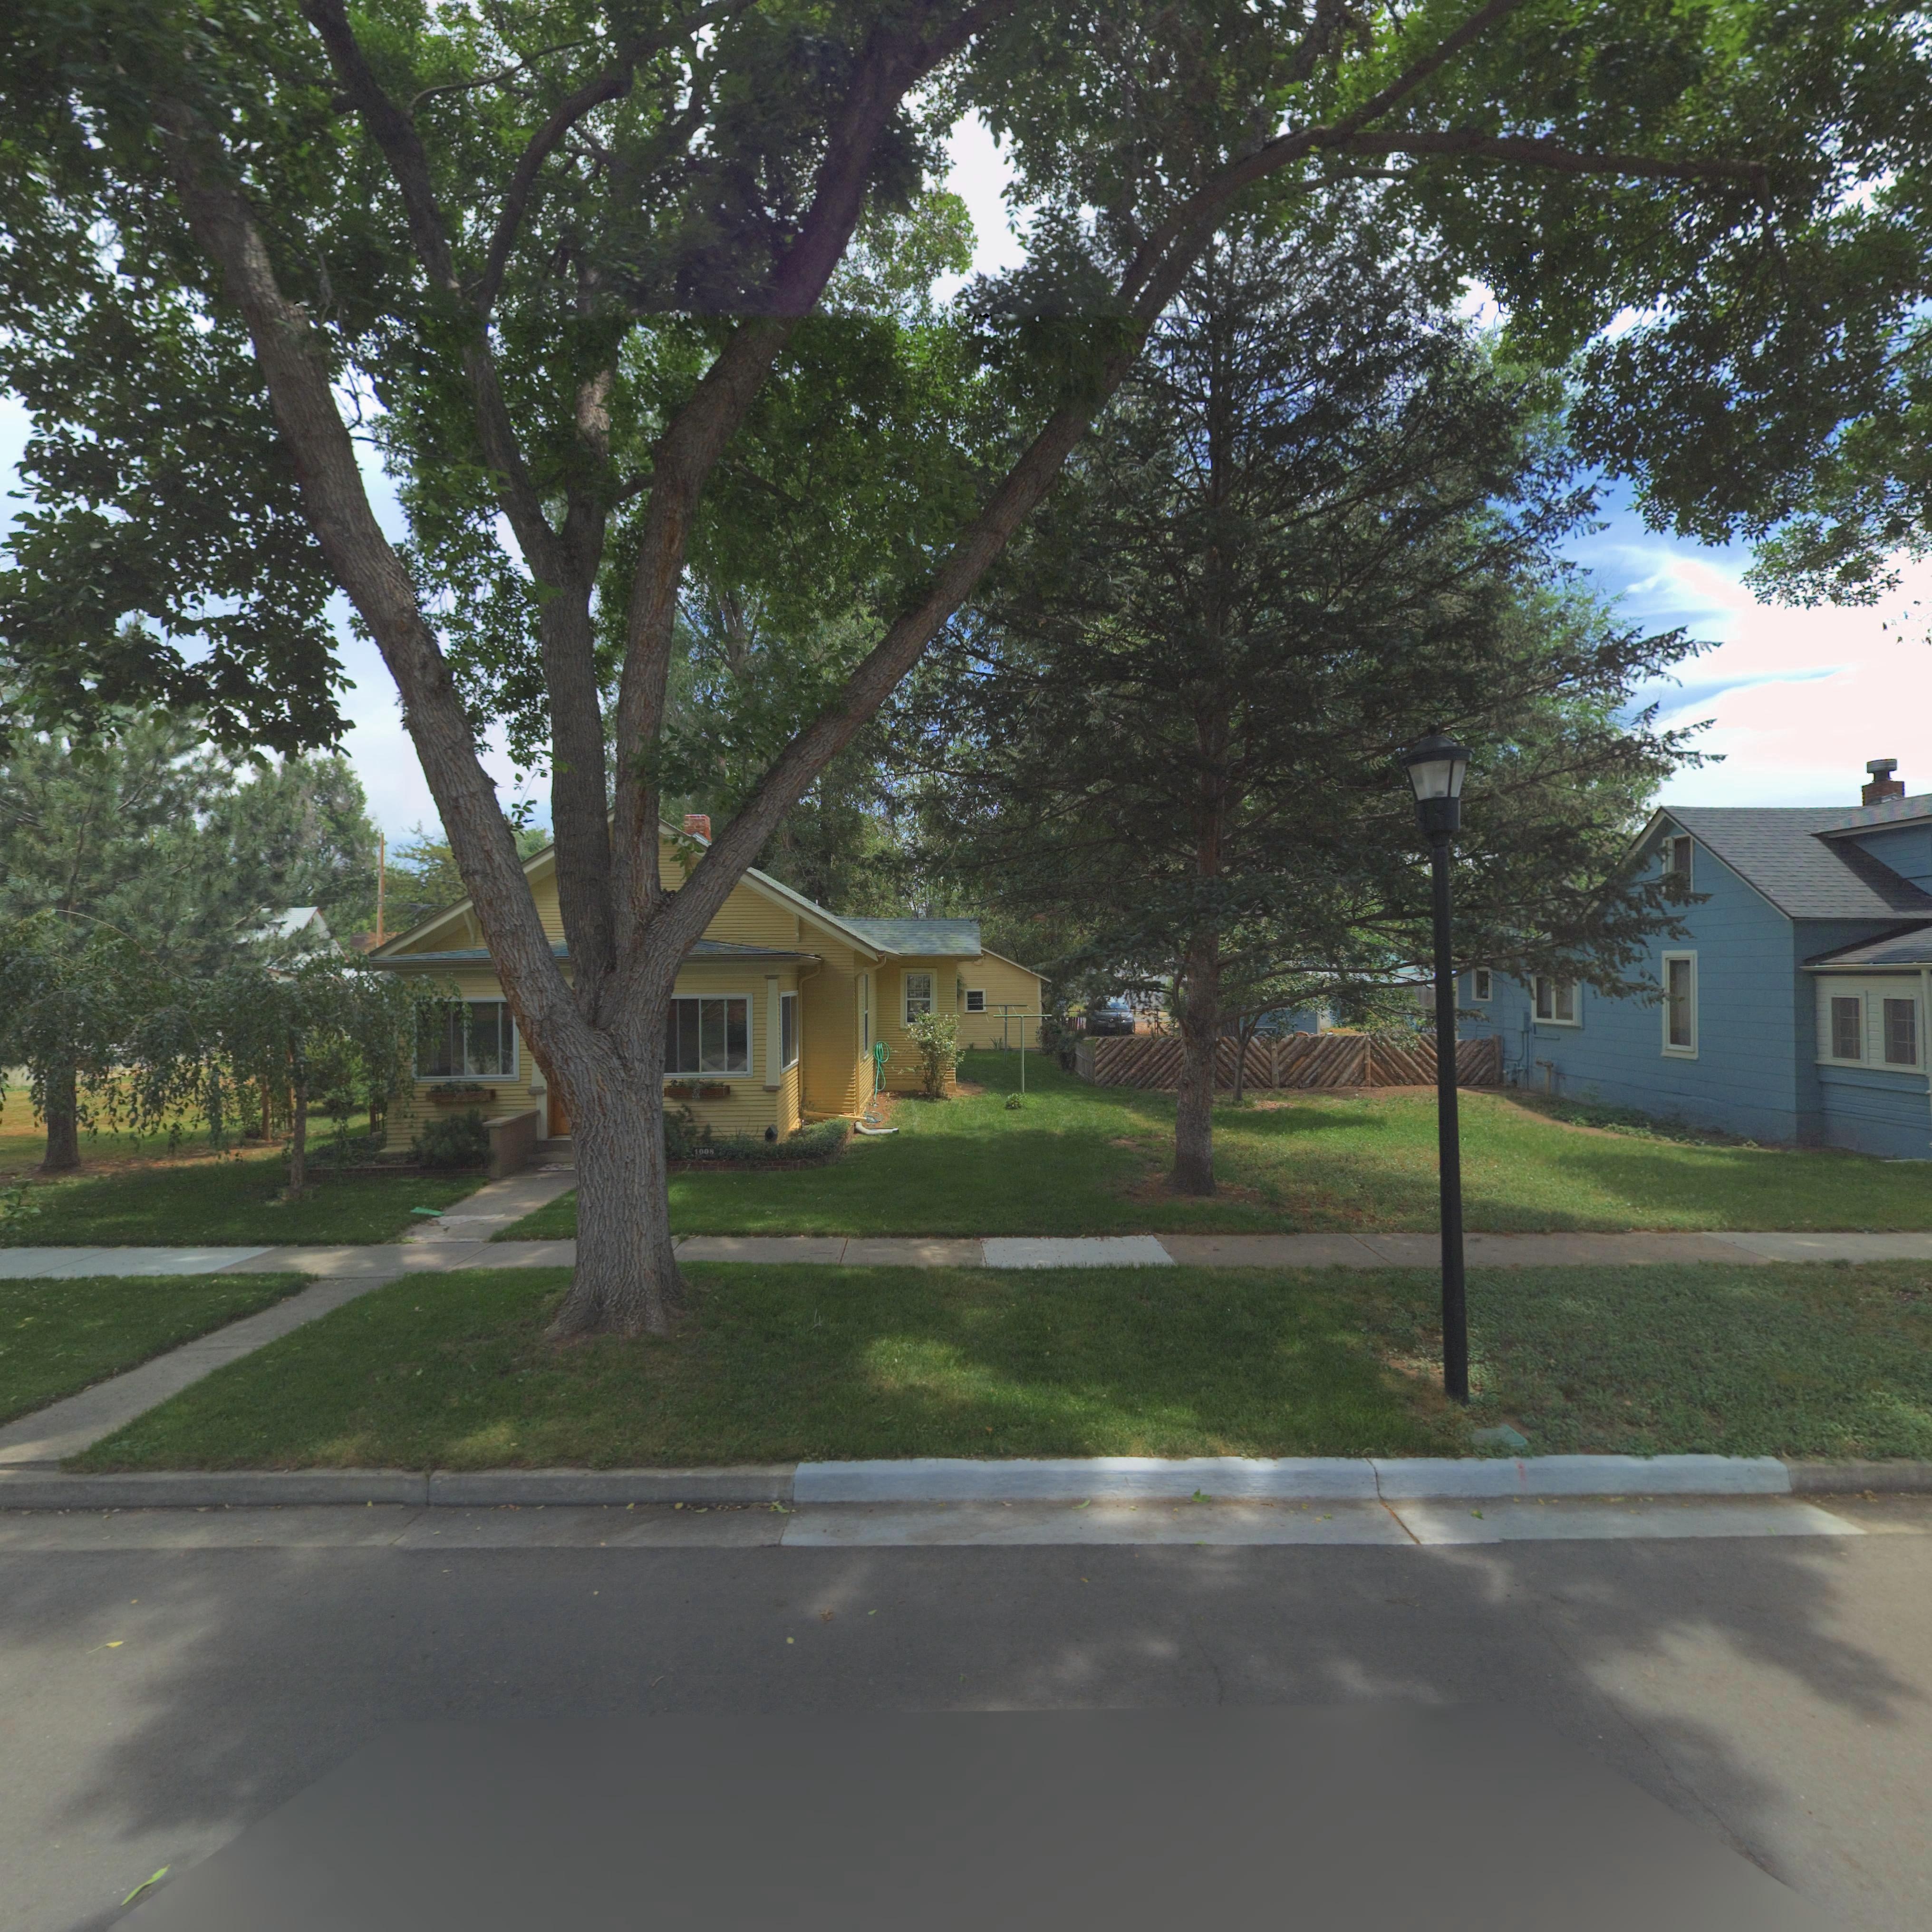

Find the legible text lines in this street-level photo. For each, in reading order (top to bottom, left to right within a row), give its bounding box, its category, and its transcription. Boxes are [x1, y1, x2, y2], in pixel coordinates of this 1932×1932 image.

[694, 1148, 714, 1155] StreetNumber: 1008